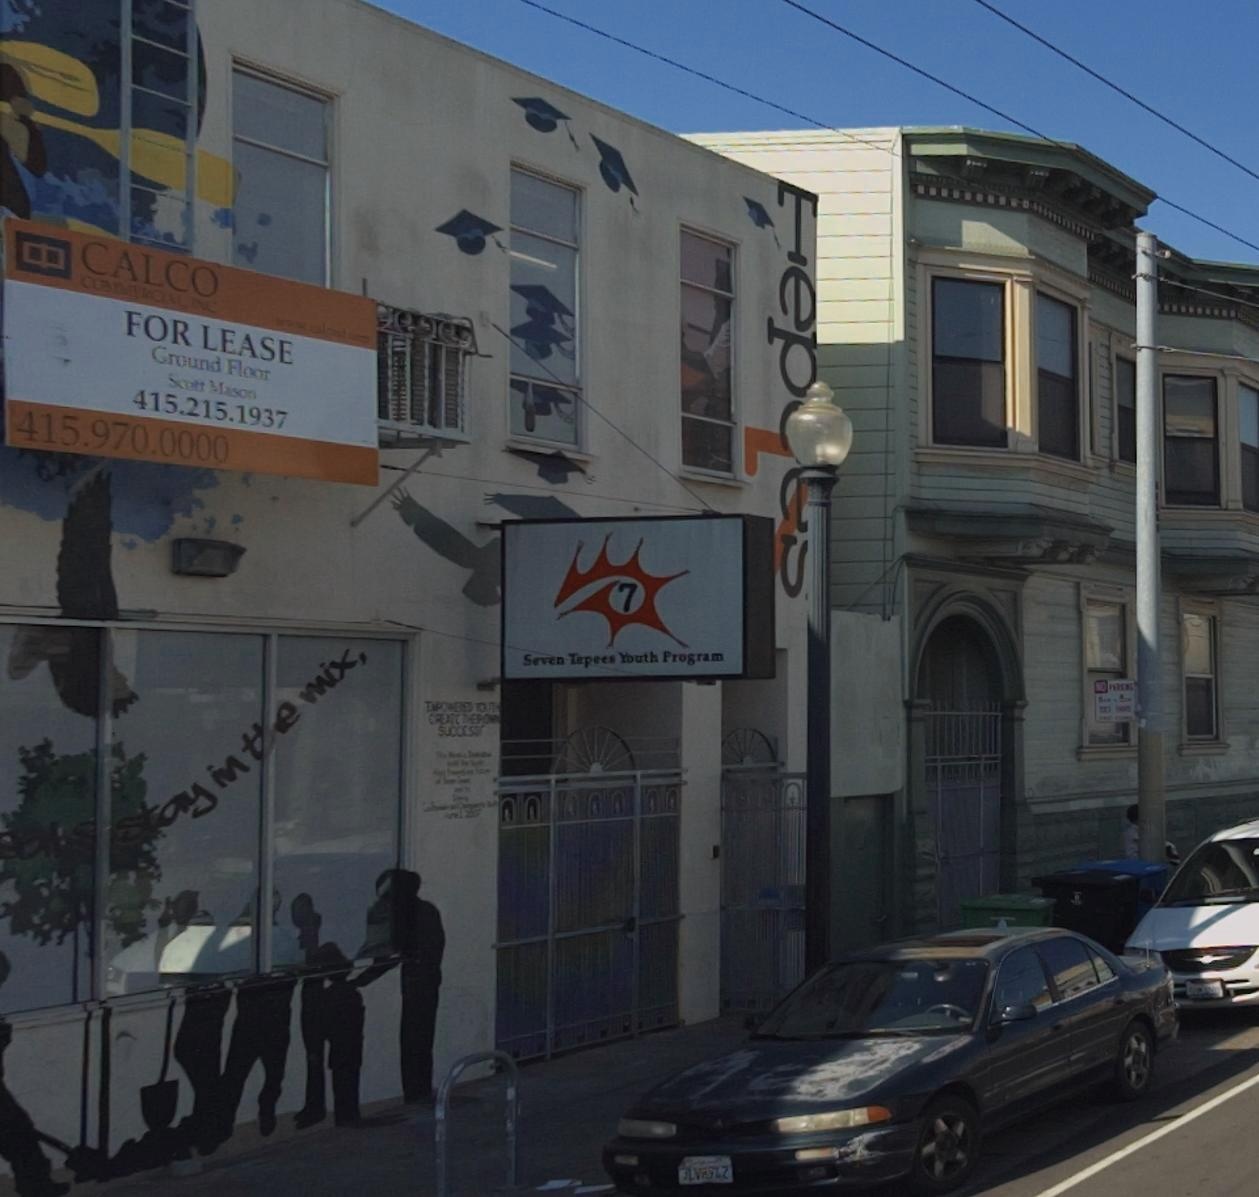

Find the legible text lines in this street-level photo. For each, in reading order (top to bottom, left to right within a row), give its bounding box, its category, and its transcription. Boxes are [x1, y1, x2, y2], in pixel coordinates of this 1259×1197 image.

[777, 177, 820, 269] None: T
[77, 236, 224, 300] None: CALCO
[80, 275, 234, 317] None: COMMERCIAL, INC.
[122, 309, 297, 368] None: FOR LEASE
[271, 315, 372, 347] None: www.calco.com
[150, 342, 277, 383] None: Ground Floor
[167, 371, 257, 401] None: Scott Mason
[130, 383, 293, 431] None: 415.215.1937
[17, 404, 237, 465] None: 415.970.0000
[616, 582, 639, 612] BusinessName: 7
[522, 649, 724, 668] None: Seven Tepees Youth Program
[1095, 682, 1134, 692] None: NOPARKING
[112, 646, 374, 847] None: stay in t*e mix,
[437, 727, 490, 737] None: SUCCESS
[683, 1165, 730, 1182] None: **v***2